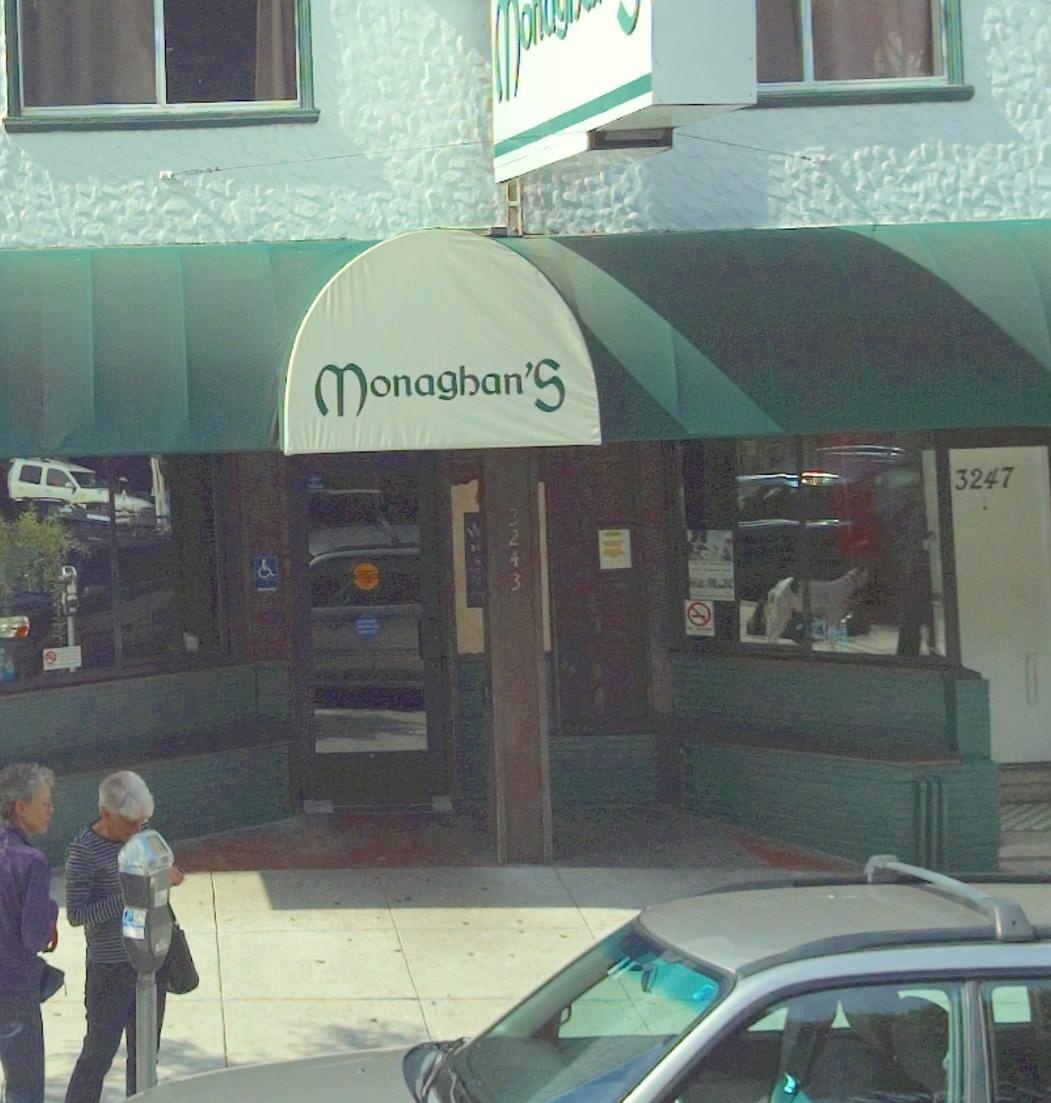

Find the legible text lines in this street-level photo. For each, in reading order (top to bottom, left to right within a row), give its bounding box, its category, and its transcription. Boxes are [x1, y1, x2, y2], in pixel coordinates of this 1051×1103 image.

[517, 1, 534, 53] BusinessName: o
[310, 353, 568, 421] BusinessName: Monaghan'S
[951, 463, 1018, 494] StreetNumber: 3247
[506, 504, 523, 594] StreetNumber: 3243